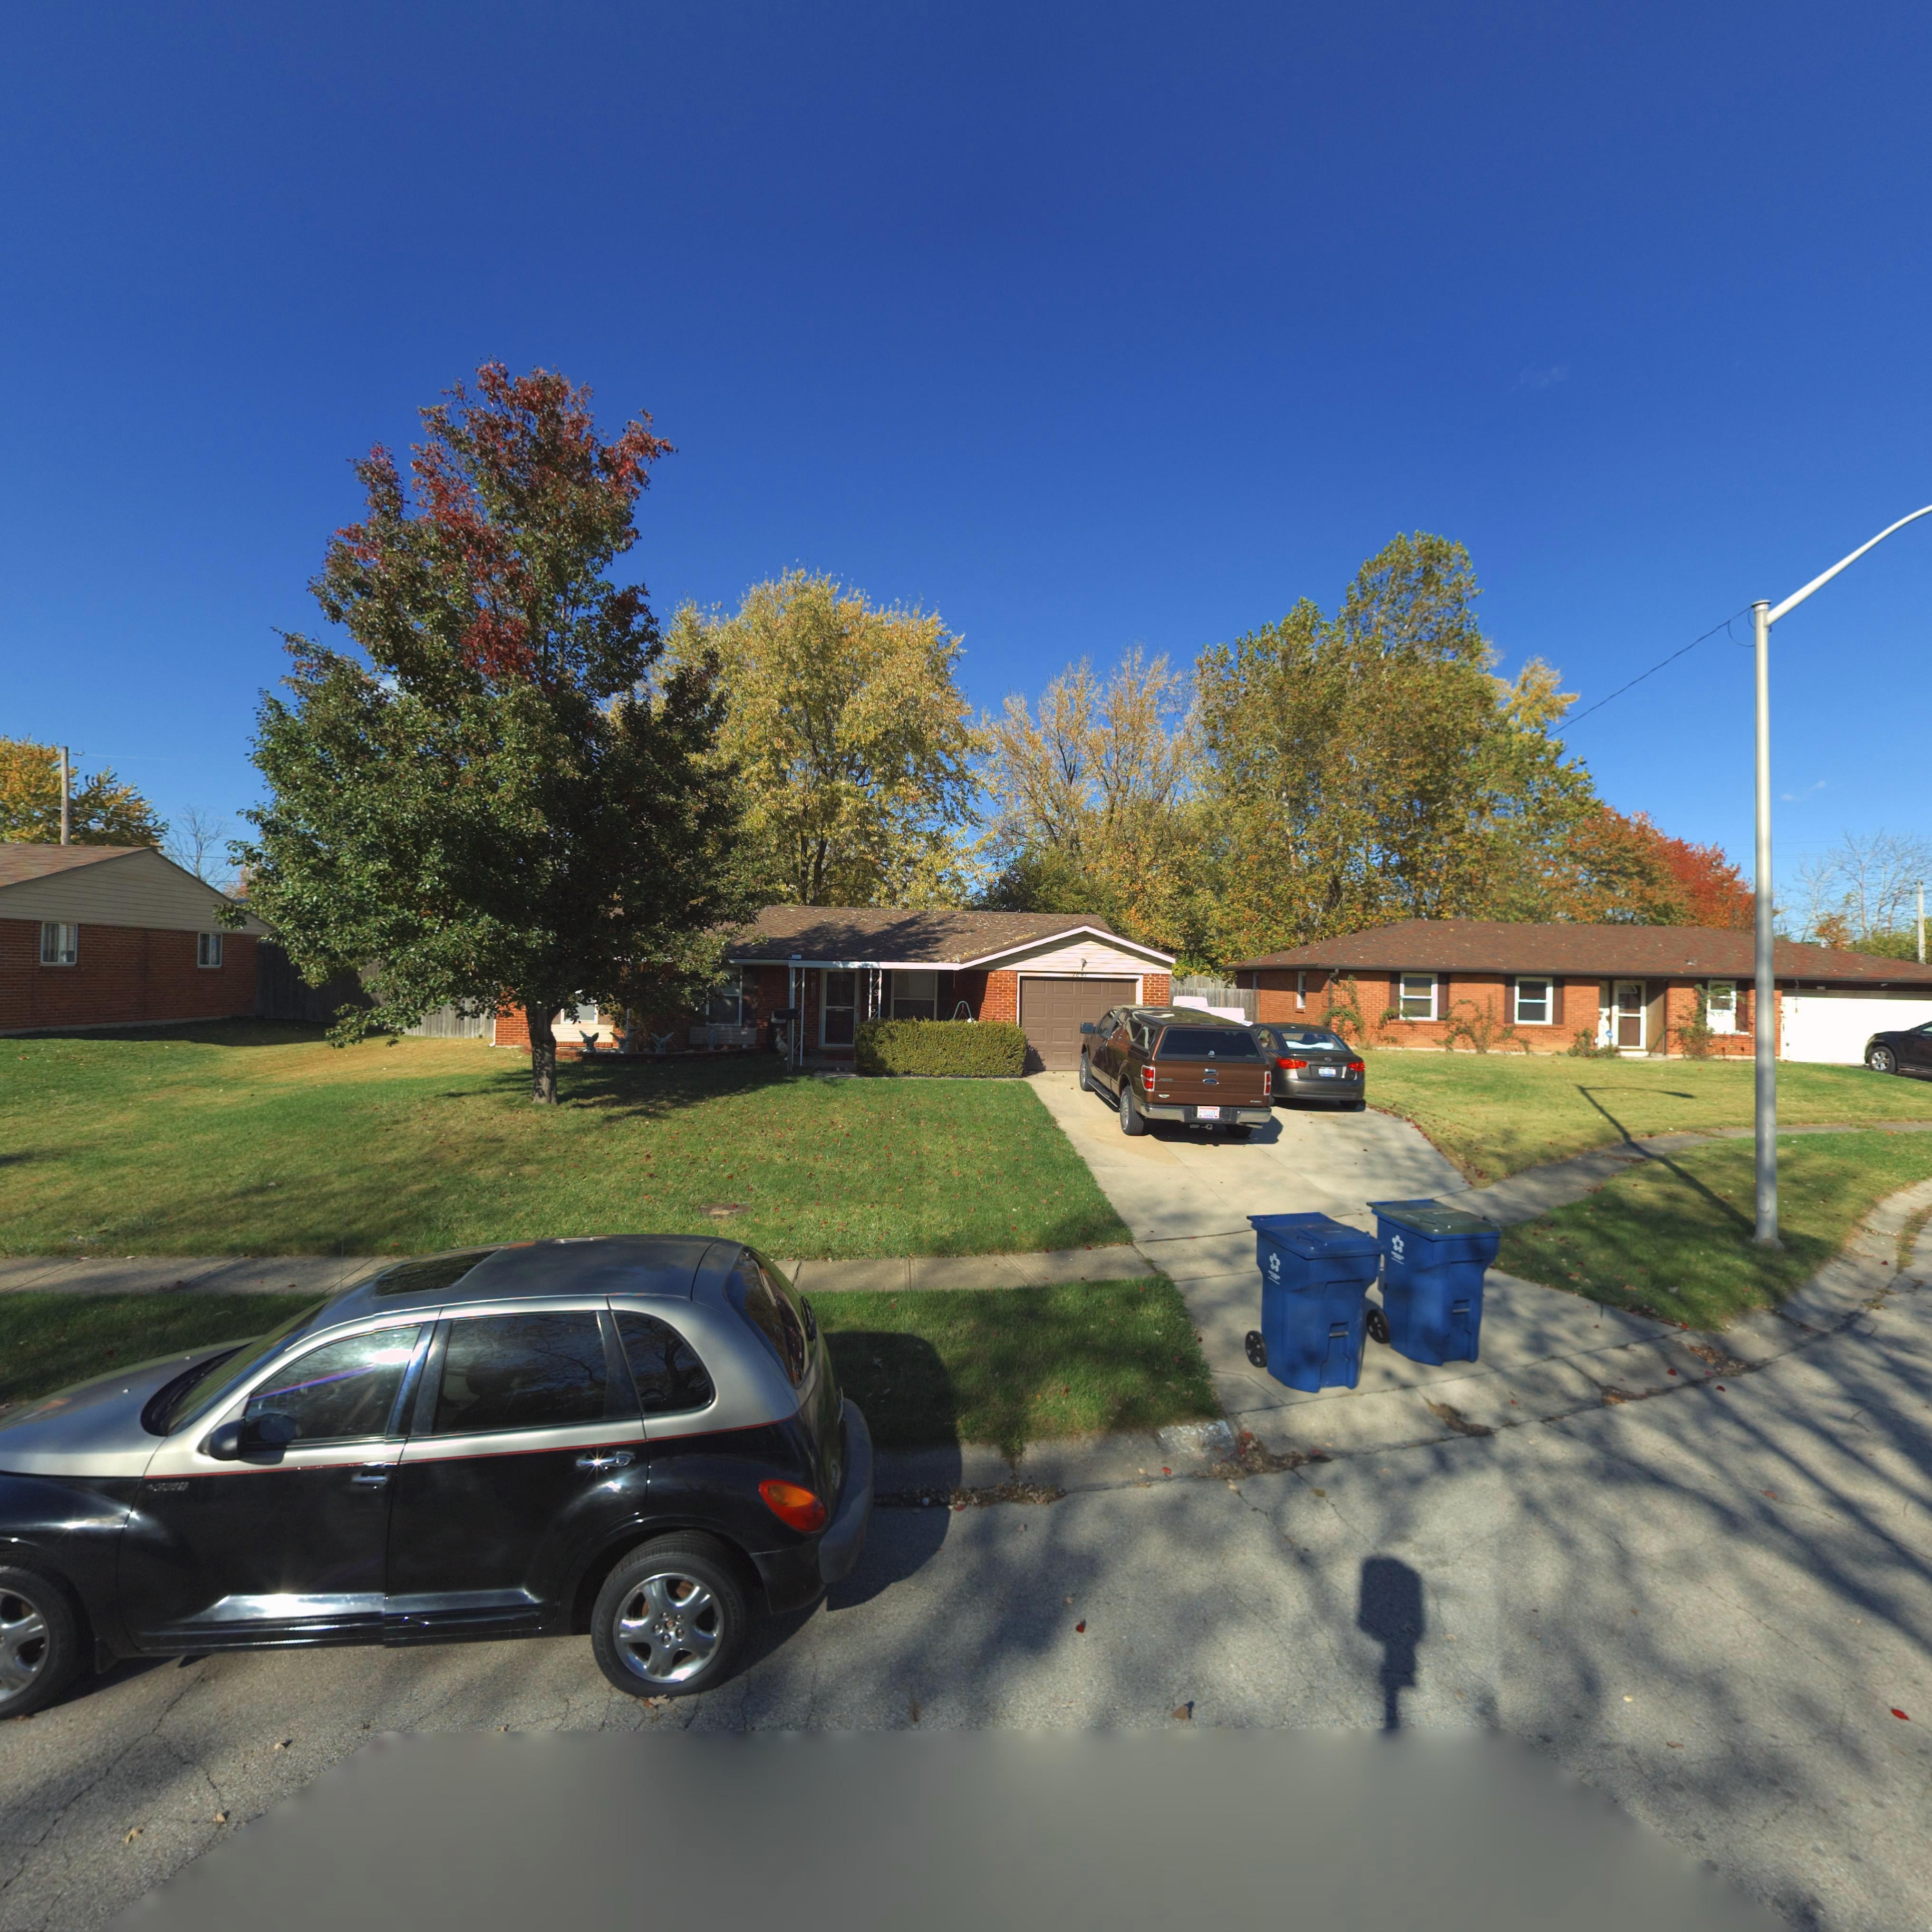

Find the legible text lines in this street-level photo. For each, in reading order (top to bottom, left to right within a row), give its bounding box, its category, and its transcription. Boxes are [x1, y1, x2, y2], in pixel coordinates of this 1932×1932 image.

[1071, 972, 1089, 978] StreetNumber: 7841